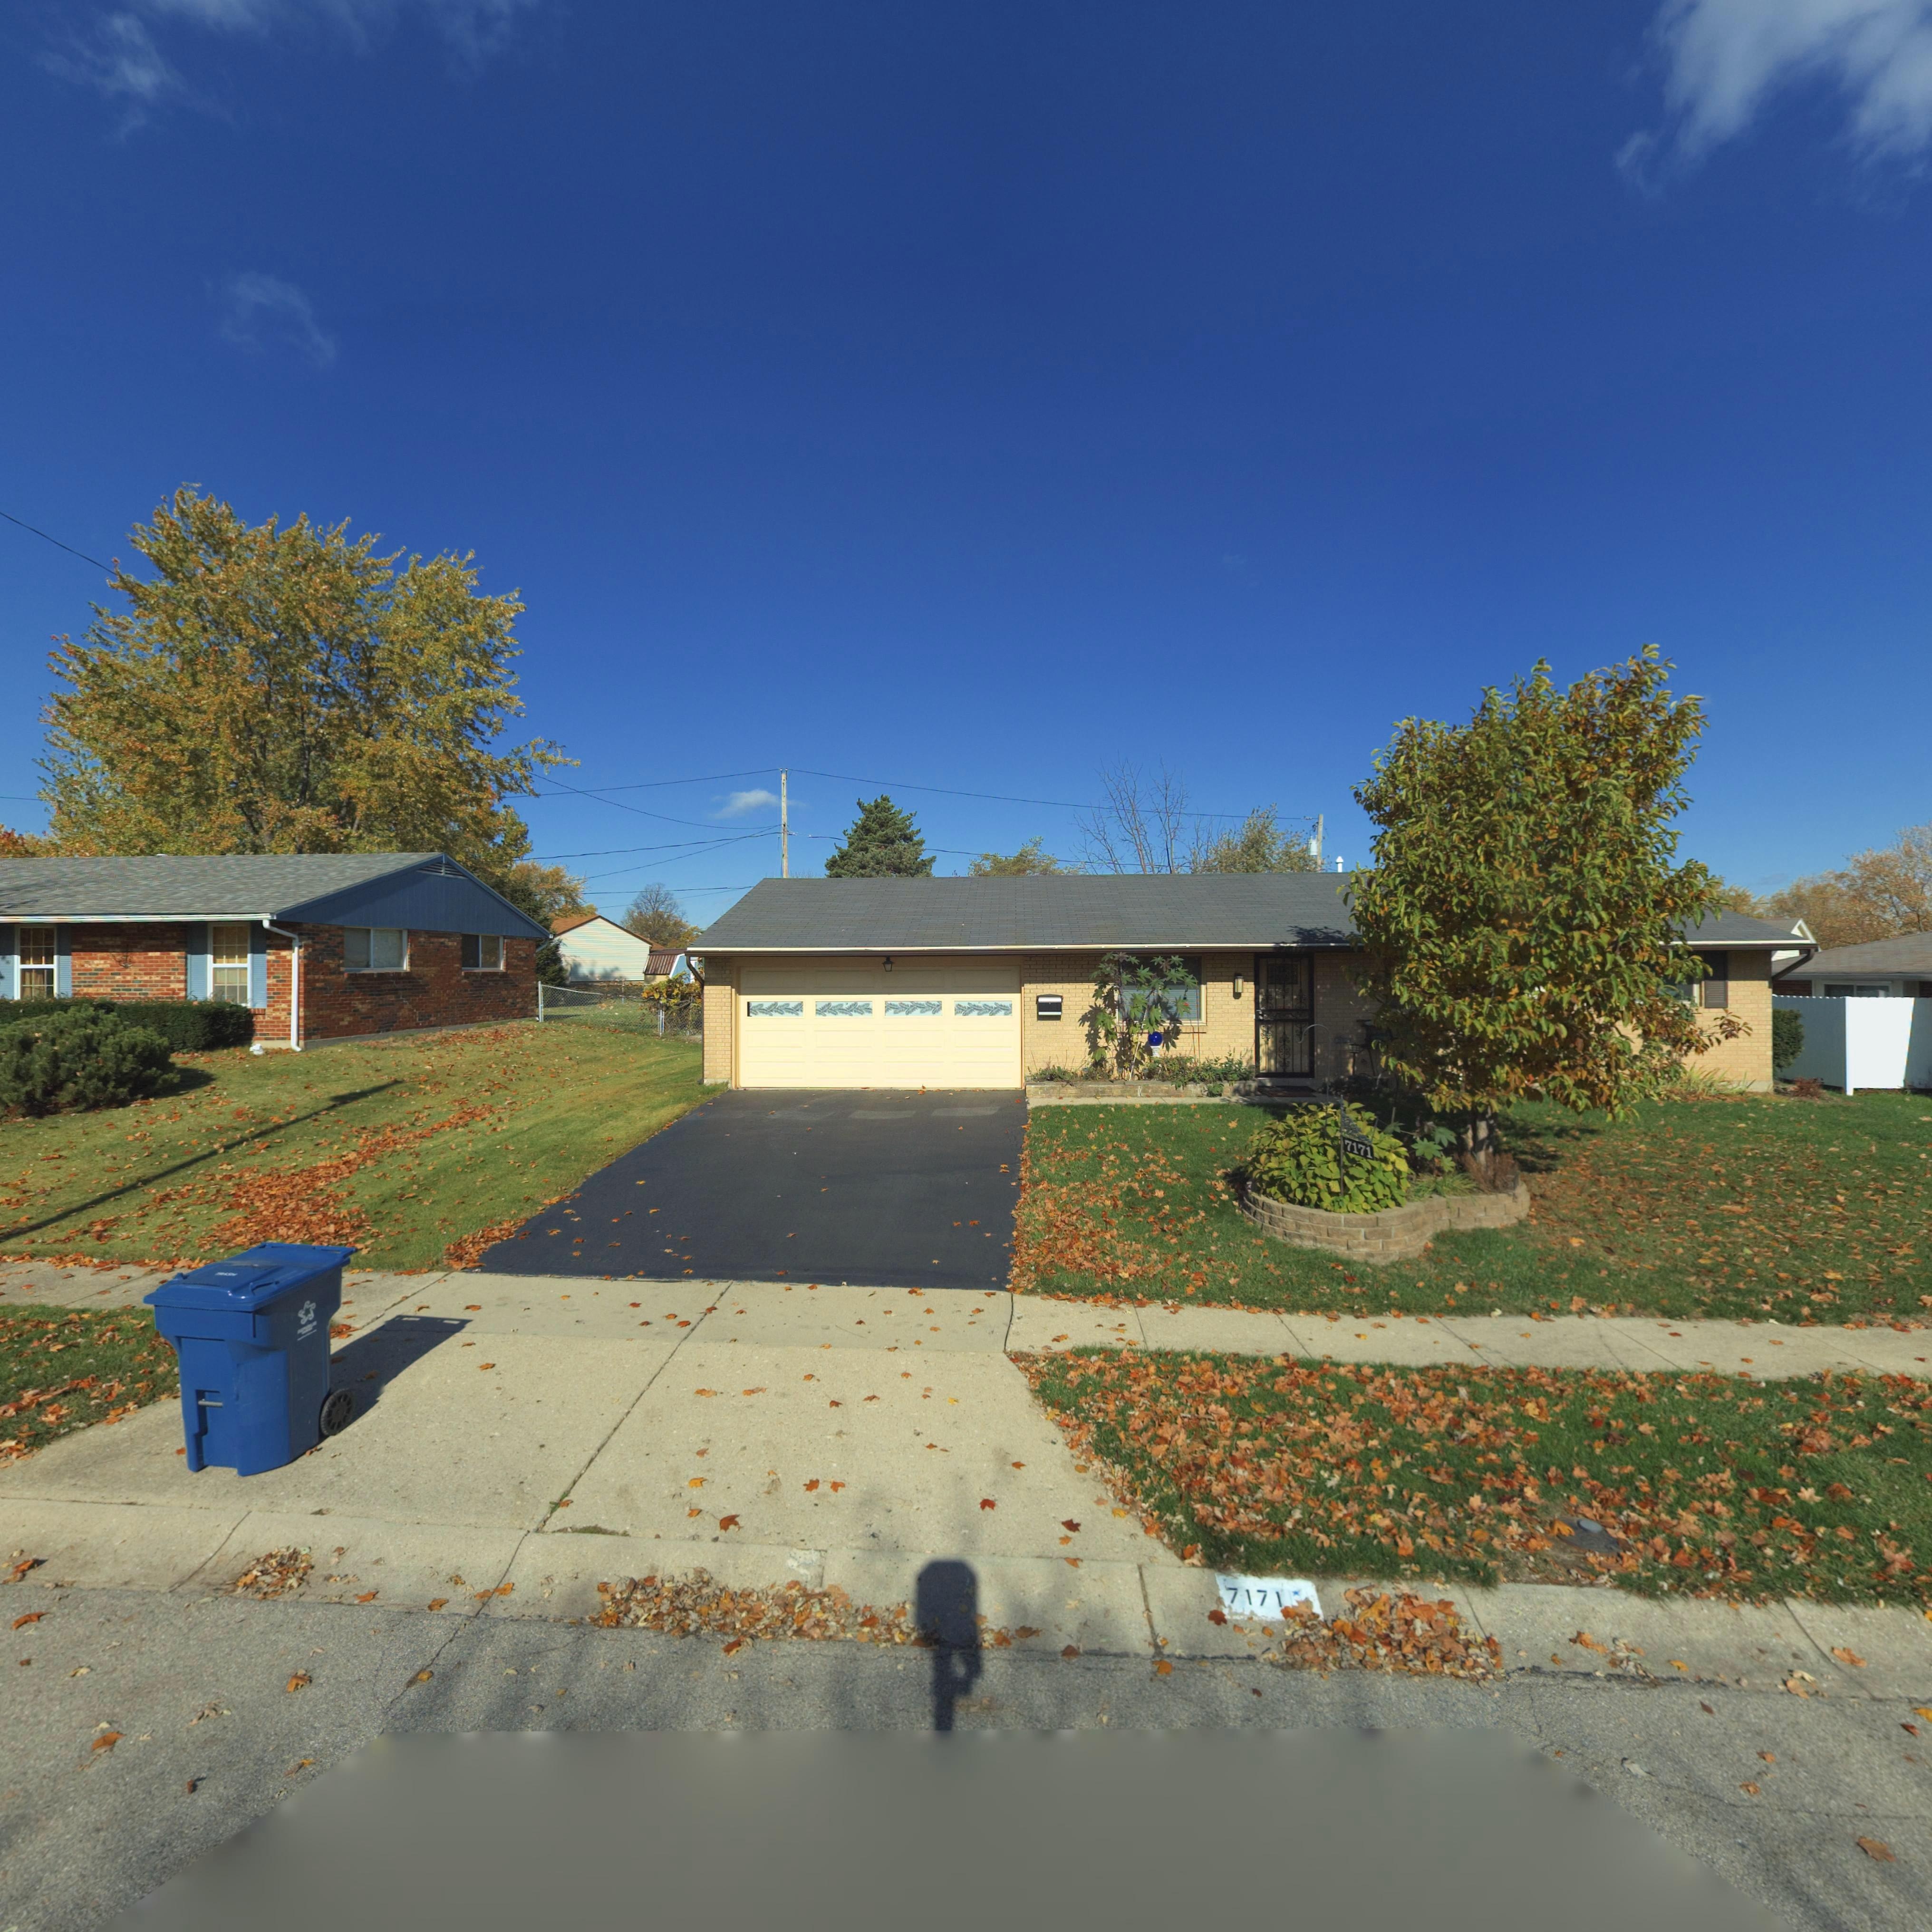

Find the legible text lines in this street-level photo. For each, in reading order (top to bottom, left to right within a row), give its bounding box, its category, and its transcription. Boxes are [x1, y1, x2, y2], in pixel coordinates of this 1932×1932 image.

[1343, 1138, 1374, 1160] StreetNumber: 7171
[1226, 1586, 1284, 1608] StreetNumber: 7171